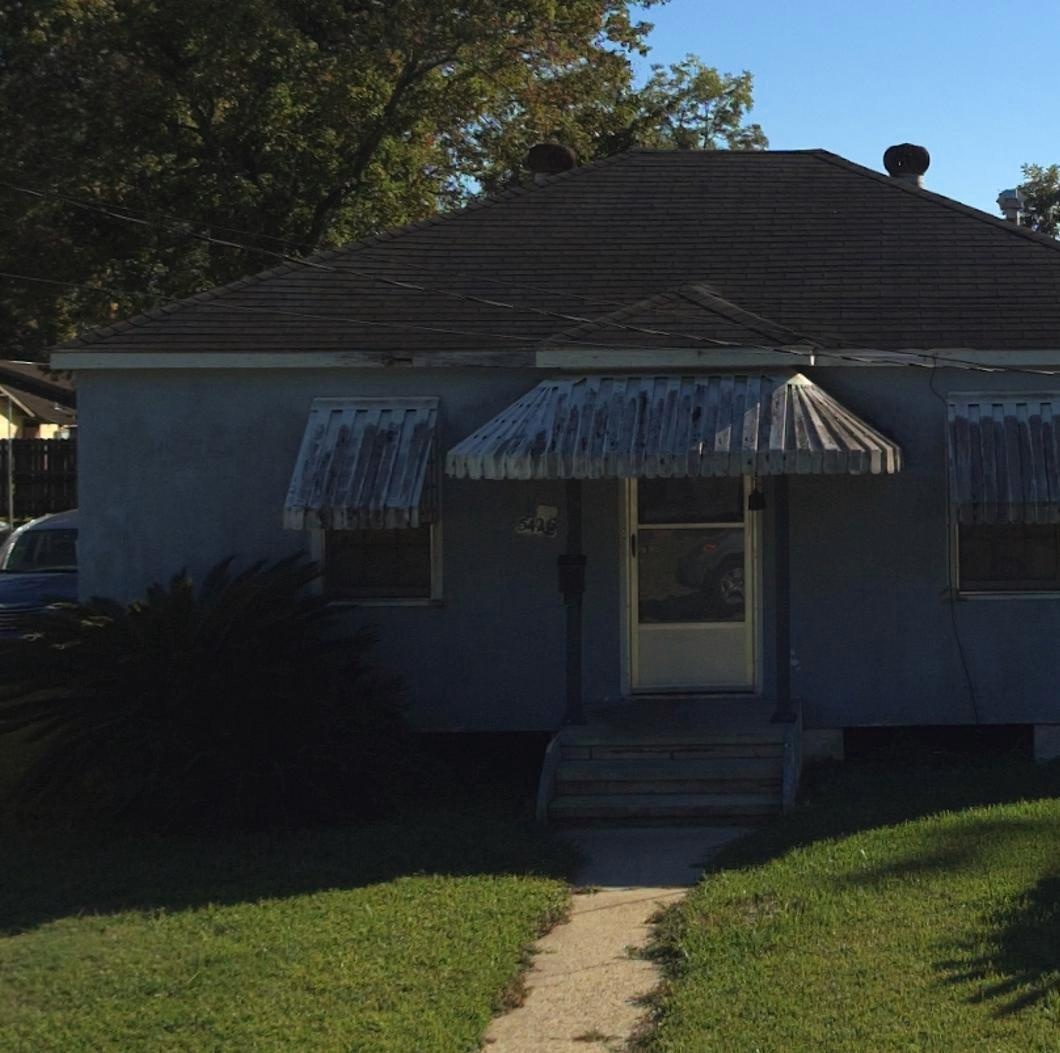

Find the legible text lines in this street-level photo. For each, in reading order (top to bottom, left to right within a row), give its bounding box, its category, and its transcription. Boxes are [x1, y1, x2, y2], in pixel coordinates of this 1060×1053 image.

[516, 516, 559, 533] StreetNumber: 5426